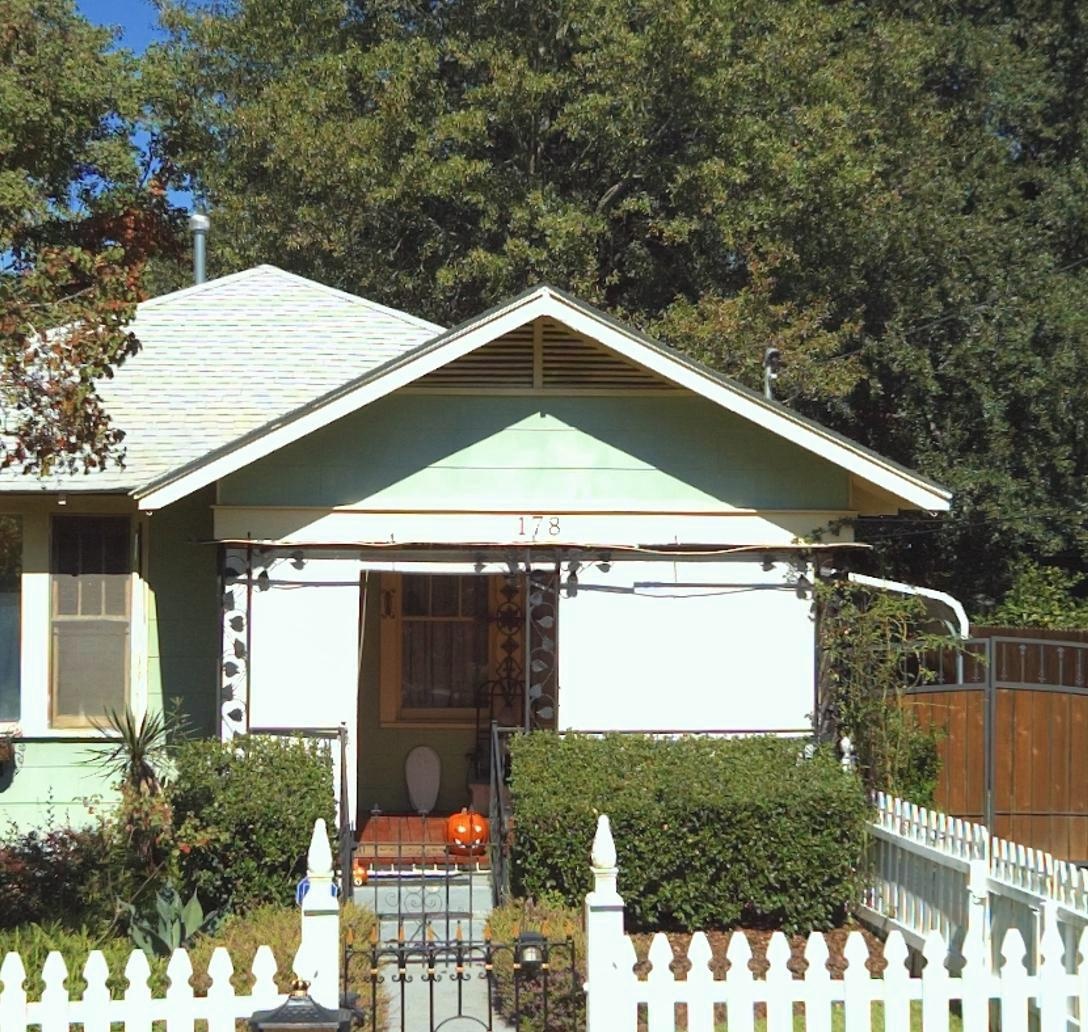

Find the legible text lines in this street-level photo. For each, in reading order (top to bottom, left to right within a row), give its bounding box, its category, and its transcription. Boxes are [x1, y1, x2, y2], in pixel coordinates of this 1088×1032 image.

[516, 514, 561, 537] StreetNumber: 178